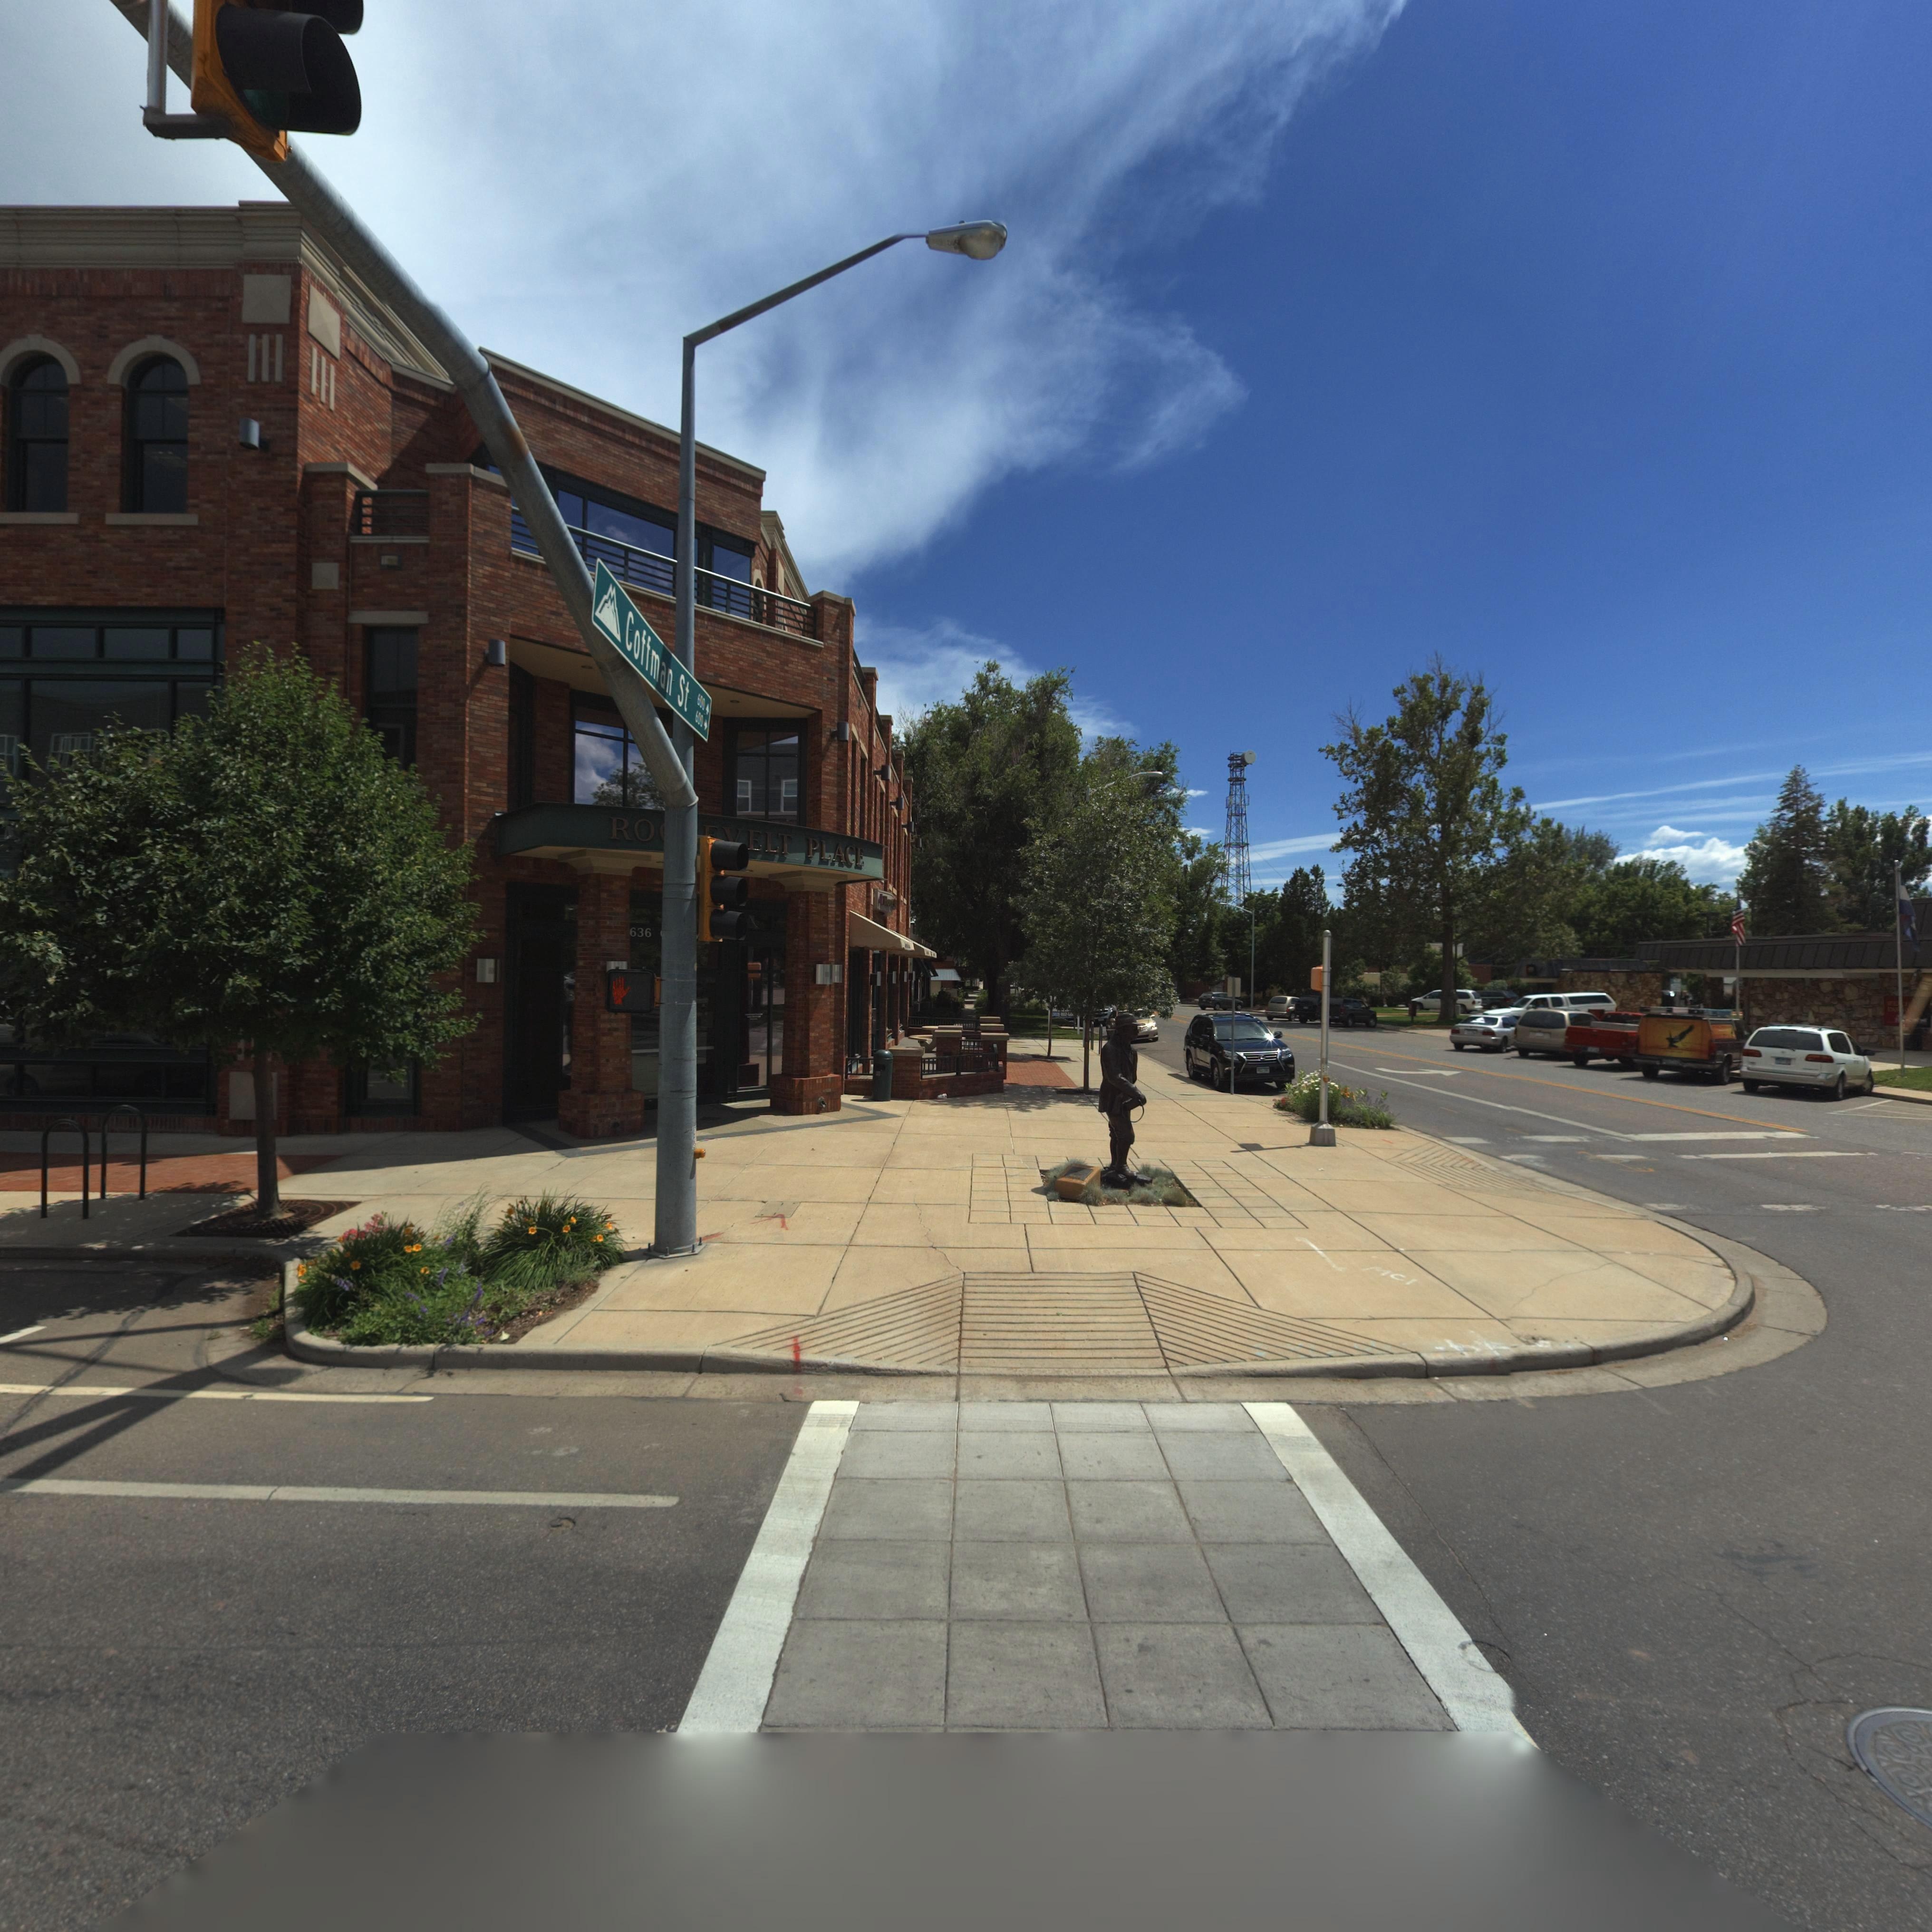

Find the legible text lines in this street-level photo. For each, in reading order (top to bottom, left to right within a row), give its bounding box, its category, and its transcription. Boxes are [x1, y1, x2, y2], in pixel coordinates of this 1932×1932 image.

[626, 610, 689, 712] StreetName: Coffman St
[697, 693, 705, 710] StreetNumberRange: 600
[695, 710, 708, 730] StreetNumberRange: 600 ->
[610, 815, 865, 866] BusinessName: RO***VELT PLACE
[629, 926, 651, 937] StreetNumber: 636